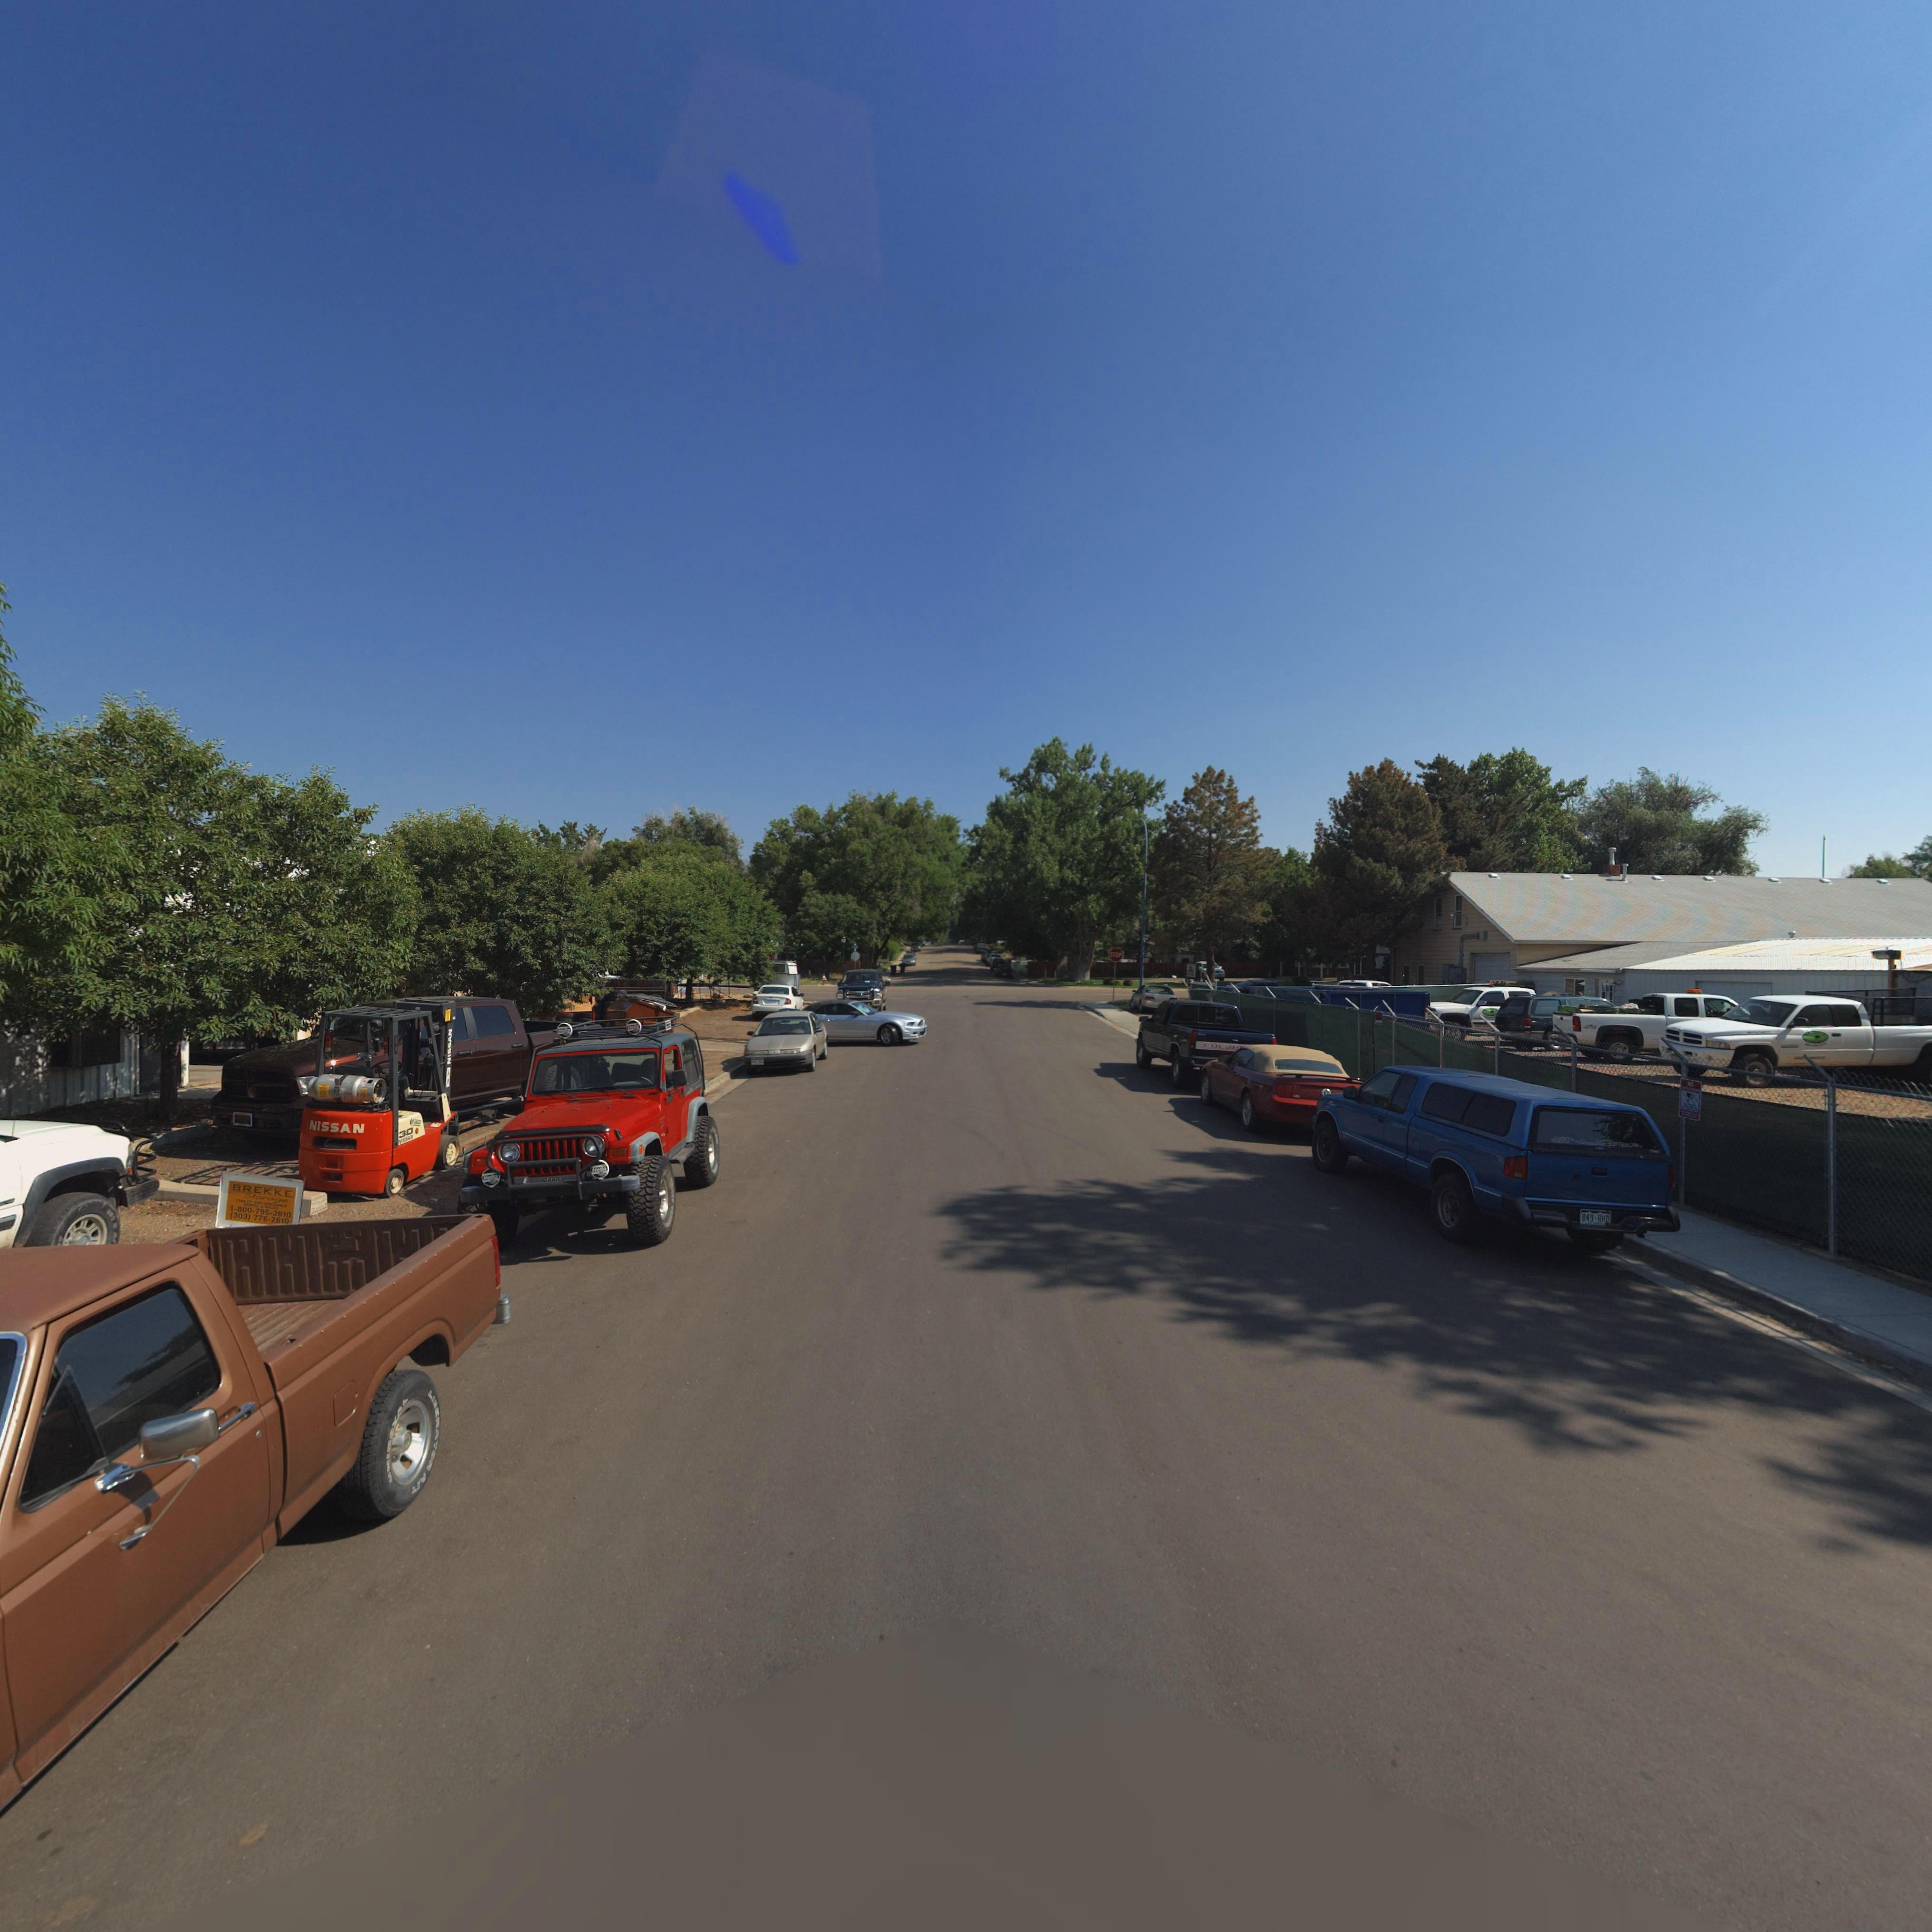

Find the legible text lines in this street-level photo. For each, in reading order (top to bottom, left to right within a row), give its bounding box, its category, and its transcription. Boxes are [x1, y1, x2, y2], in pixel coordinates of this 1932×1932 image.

[231, 1183, 292, 1198] BusinessName: BREKKE
[243, 1192, 289, 1203] BusinessName: Storage